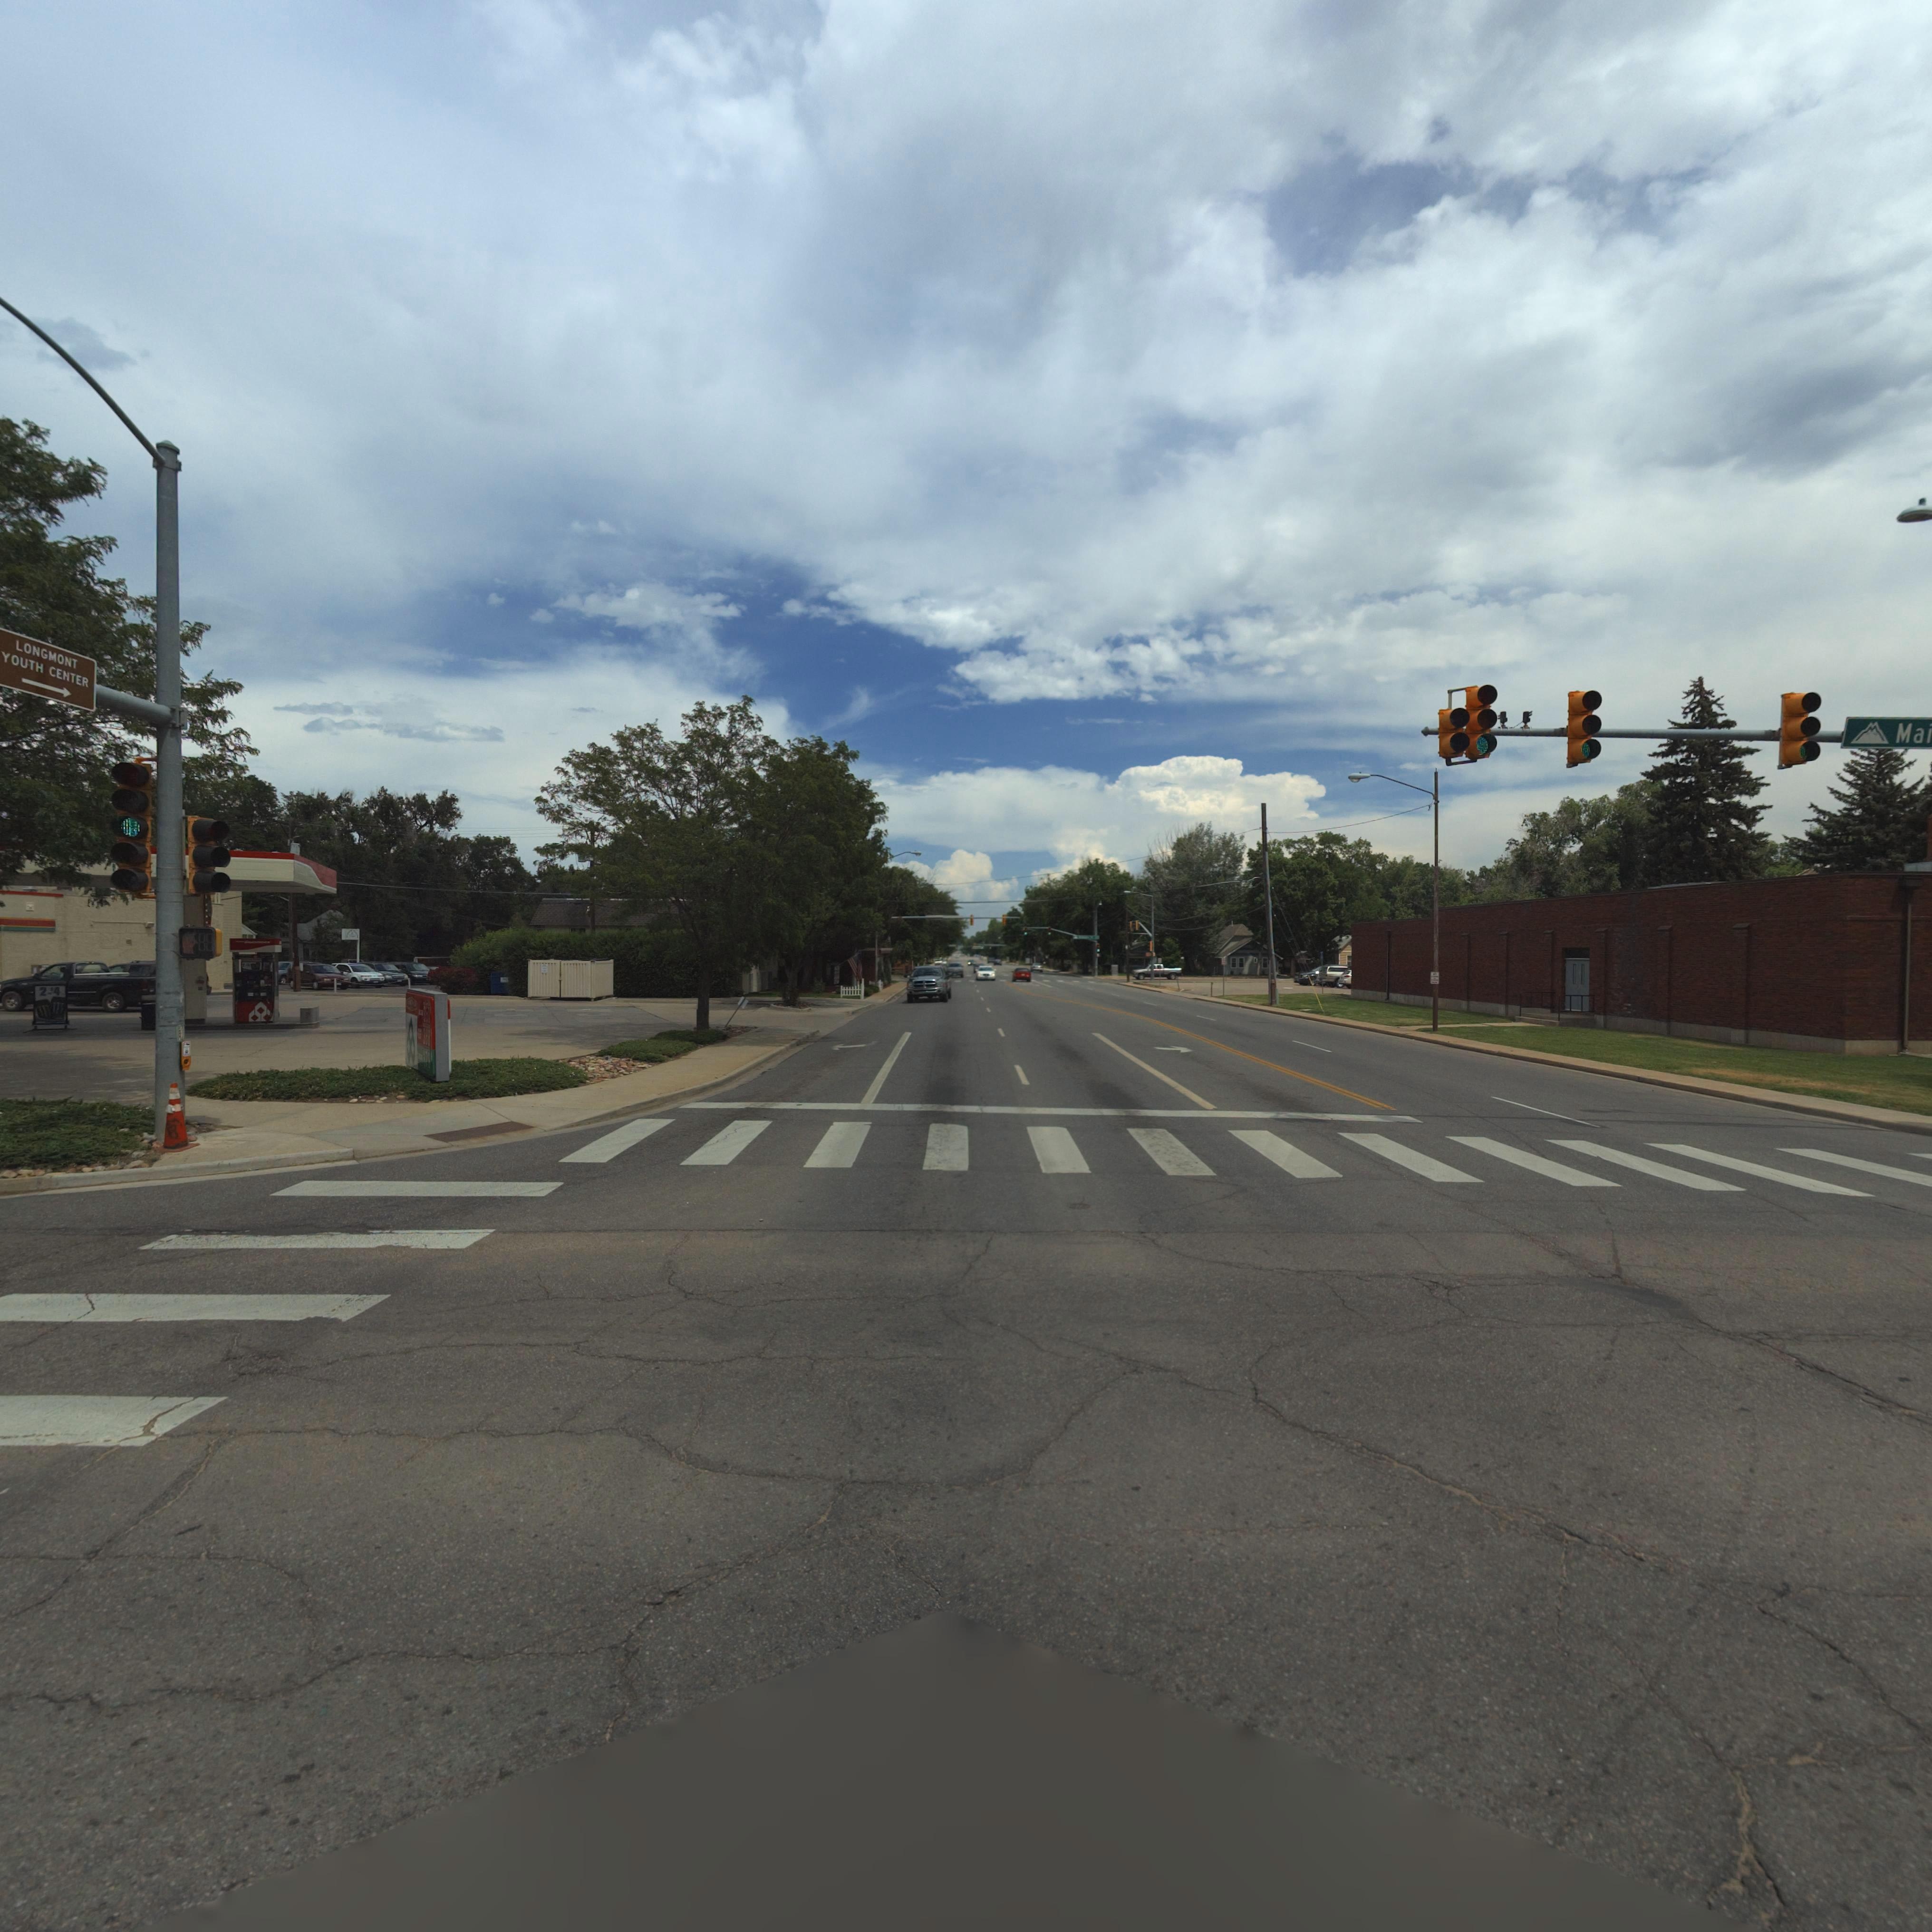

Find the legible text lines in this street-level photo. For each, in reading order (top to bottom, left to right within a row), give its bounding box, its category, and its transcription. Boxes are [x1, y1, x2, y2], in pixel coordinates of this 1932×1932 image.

[1895, 722, 1931, 743] StreetName: Ma*